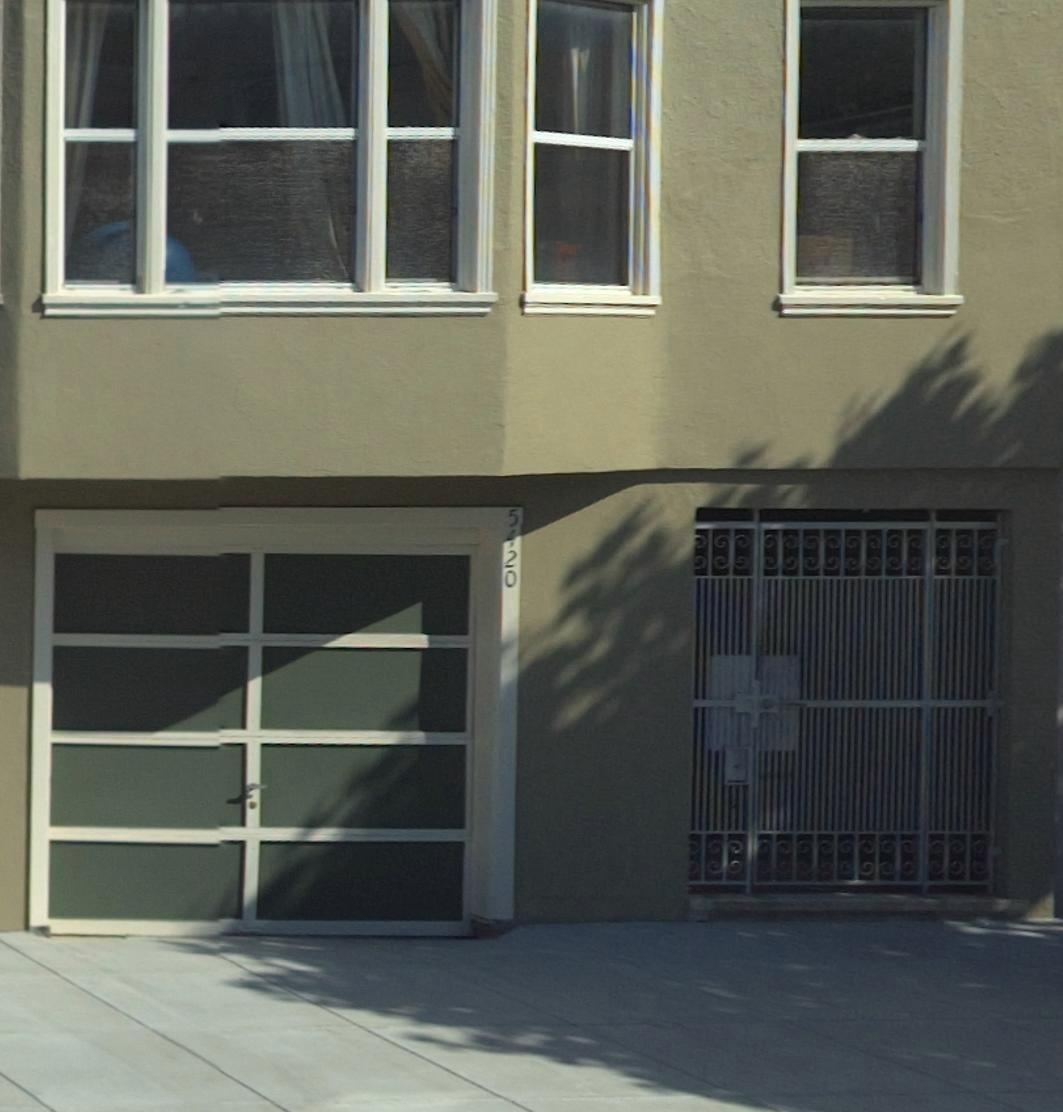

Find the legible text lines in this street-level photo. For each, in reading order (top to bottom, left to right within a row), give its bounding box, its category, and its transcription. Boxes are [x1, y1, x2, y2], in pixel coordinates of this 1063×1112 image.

[502, 506, 521, 589] StreetNumber: 5420